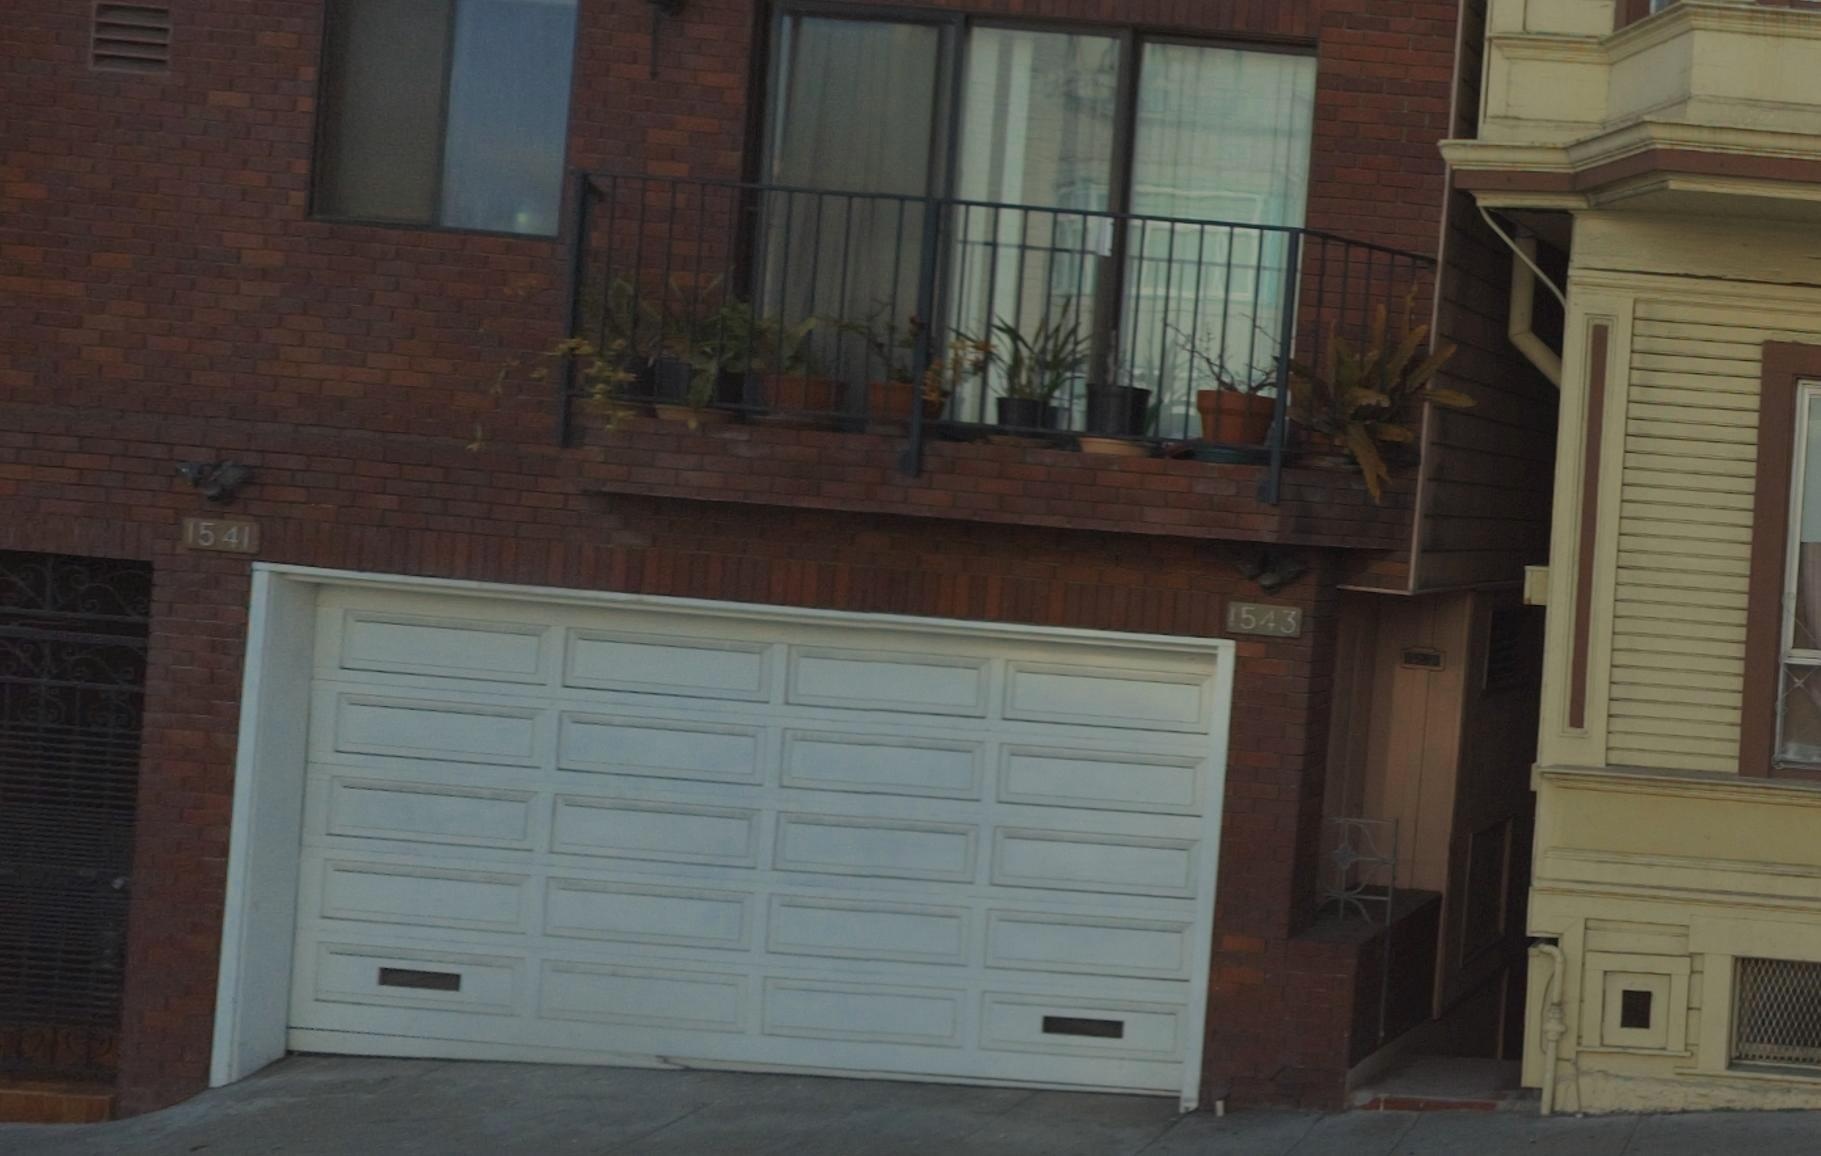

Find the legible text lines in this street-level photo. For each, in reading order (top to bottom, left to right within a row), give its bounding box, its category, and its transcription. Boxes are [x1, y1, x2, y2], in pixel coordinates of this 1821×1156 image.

[184, 517, 254, 552] StreetNumber: 1541
[1226, 600, 1300, 637] StreetNumber: 1543